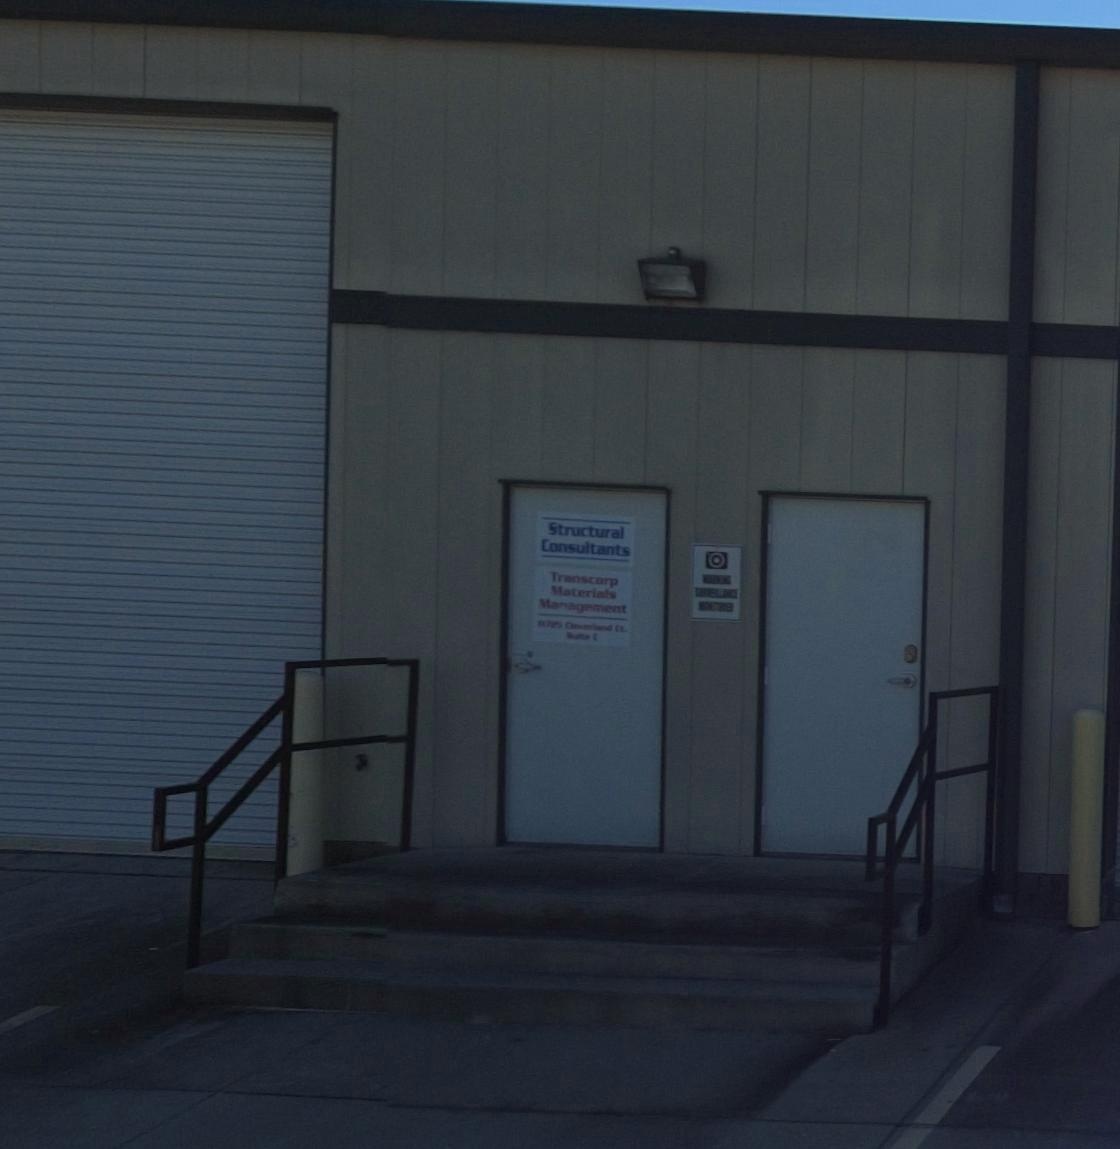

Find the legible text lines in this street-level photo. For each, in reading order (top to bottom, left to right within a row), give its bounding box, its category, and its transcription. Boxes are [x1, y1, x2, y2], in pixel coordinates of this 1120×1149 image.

[545, 519, 627, 543] None: Scructural
[538, 536, 634, 559] None: Consultants
[546, 568, 622, 592] BusinessName: Transcorp
[547, 582, 620, 603] BusinessName: Materials
[536, 594, 630, 617] BusinessName: Management